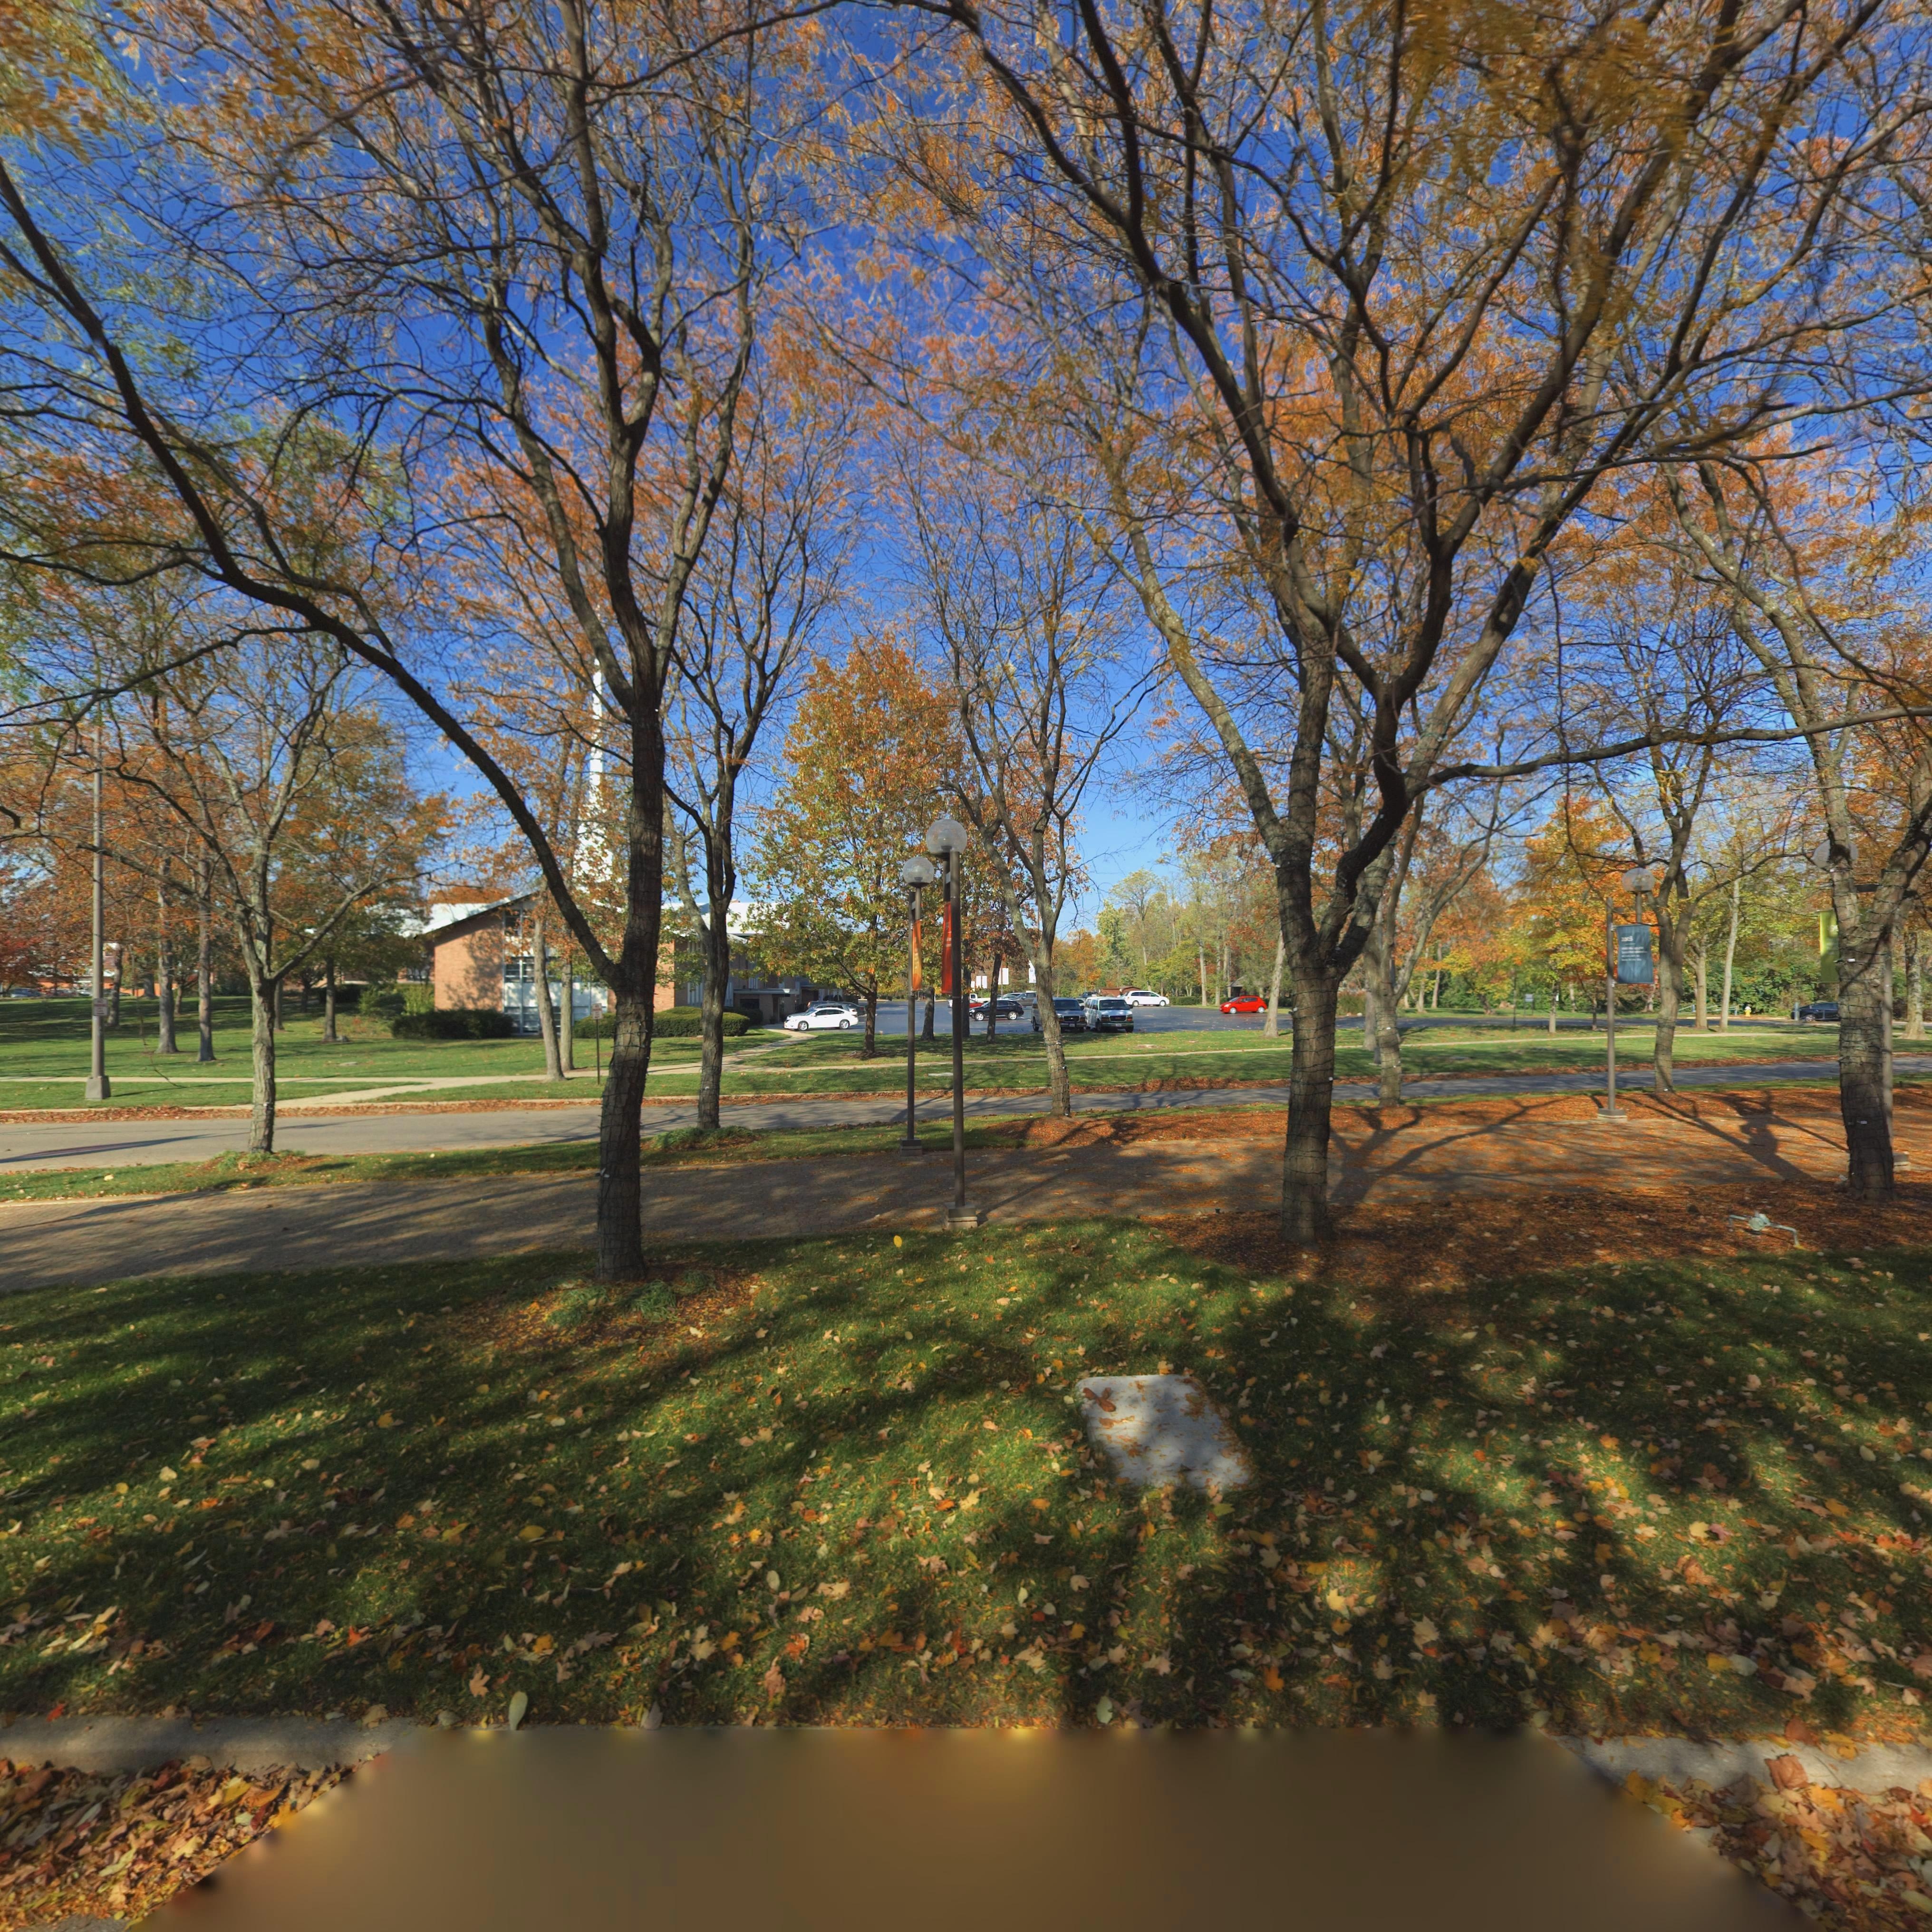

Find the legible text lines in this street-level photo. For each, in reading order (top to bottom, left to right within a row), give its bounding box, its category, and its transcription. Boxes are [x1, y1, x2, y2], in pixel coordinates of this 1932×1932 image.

[1620, 936, 1634, 942] None: 2008